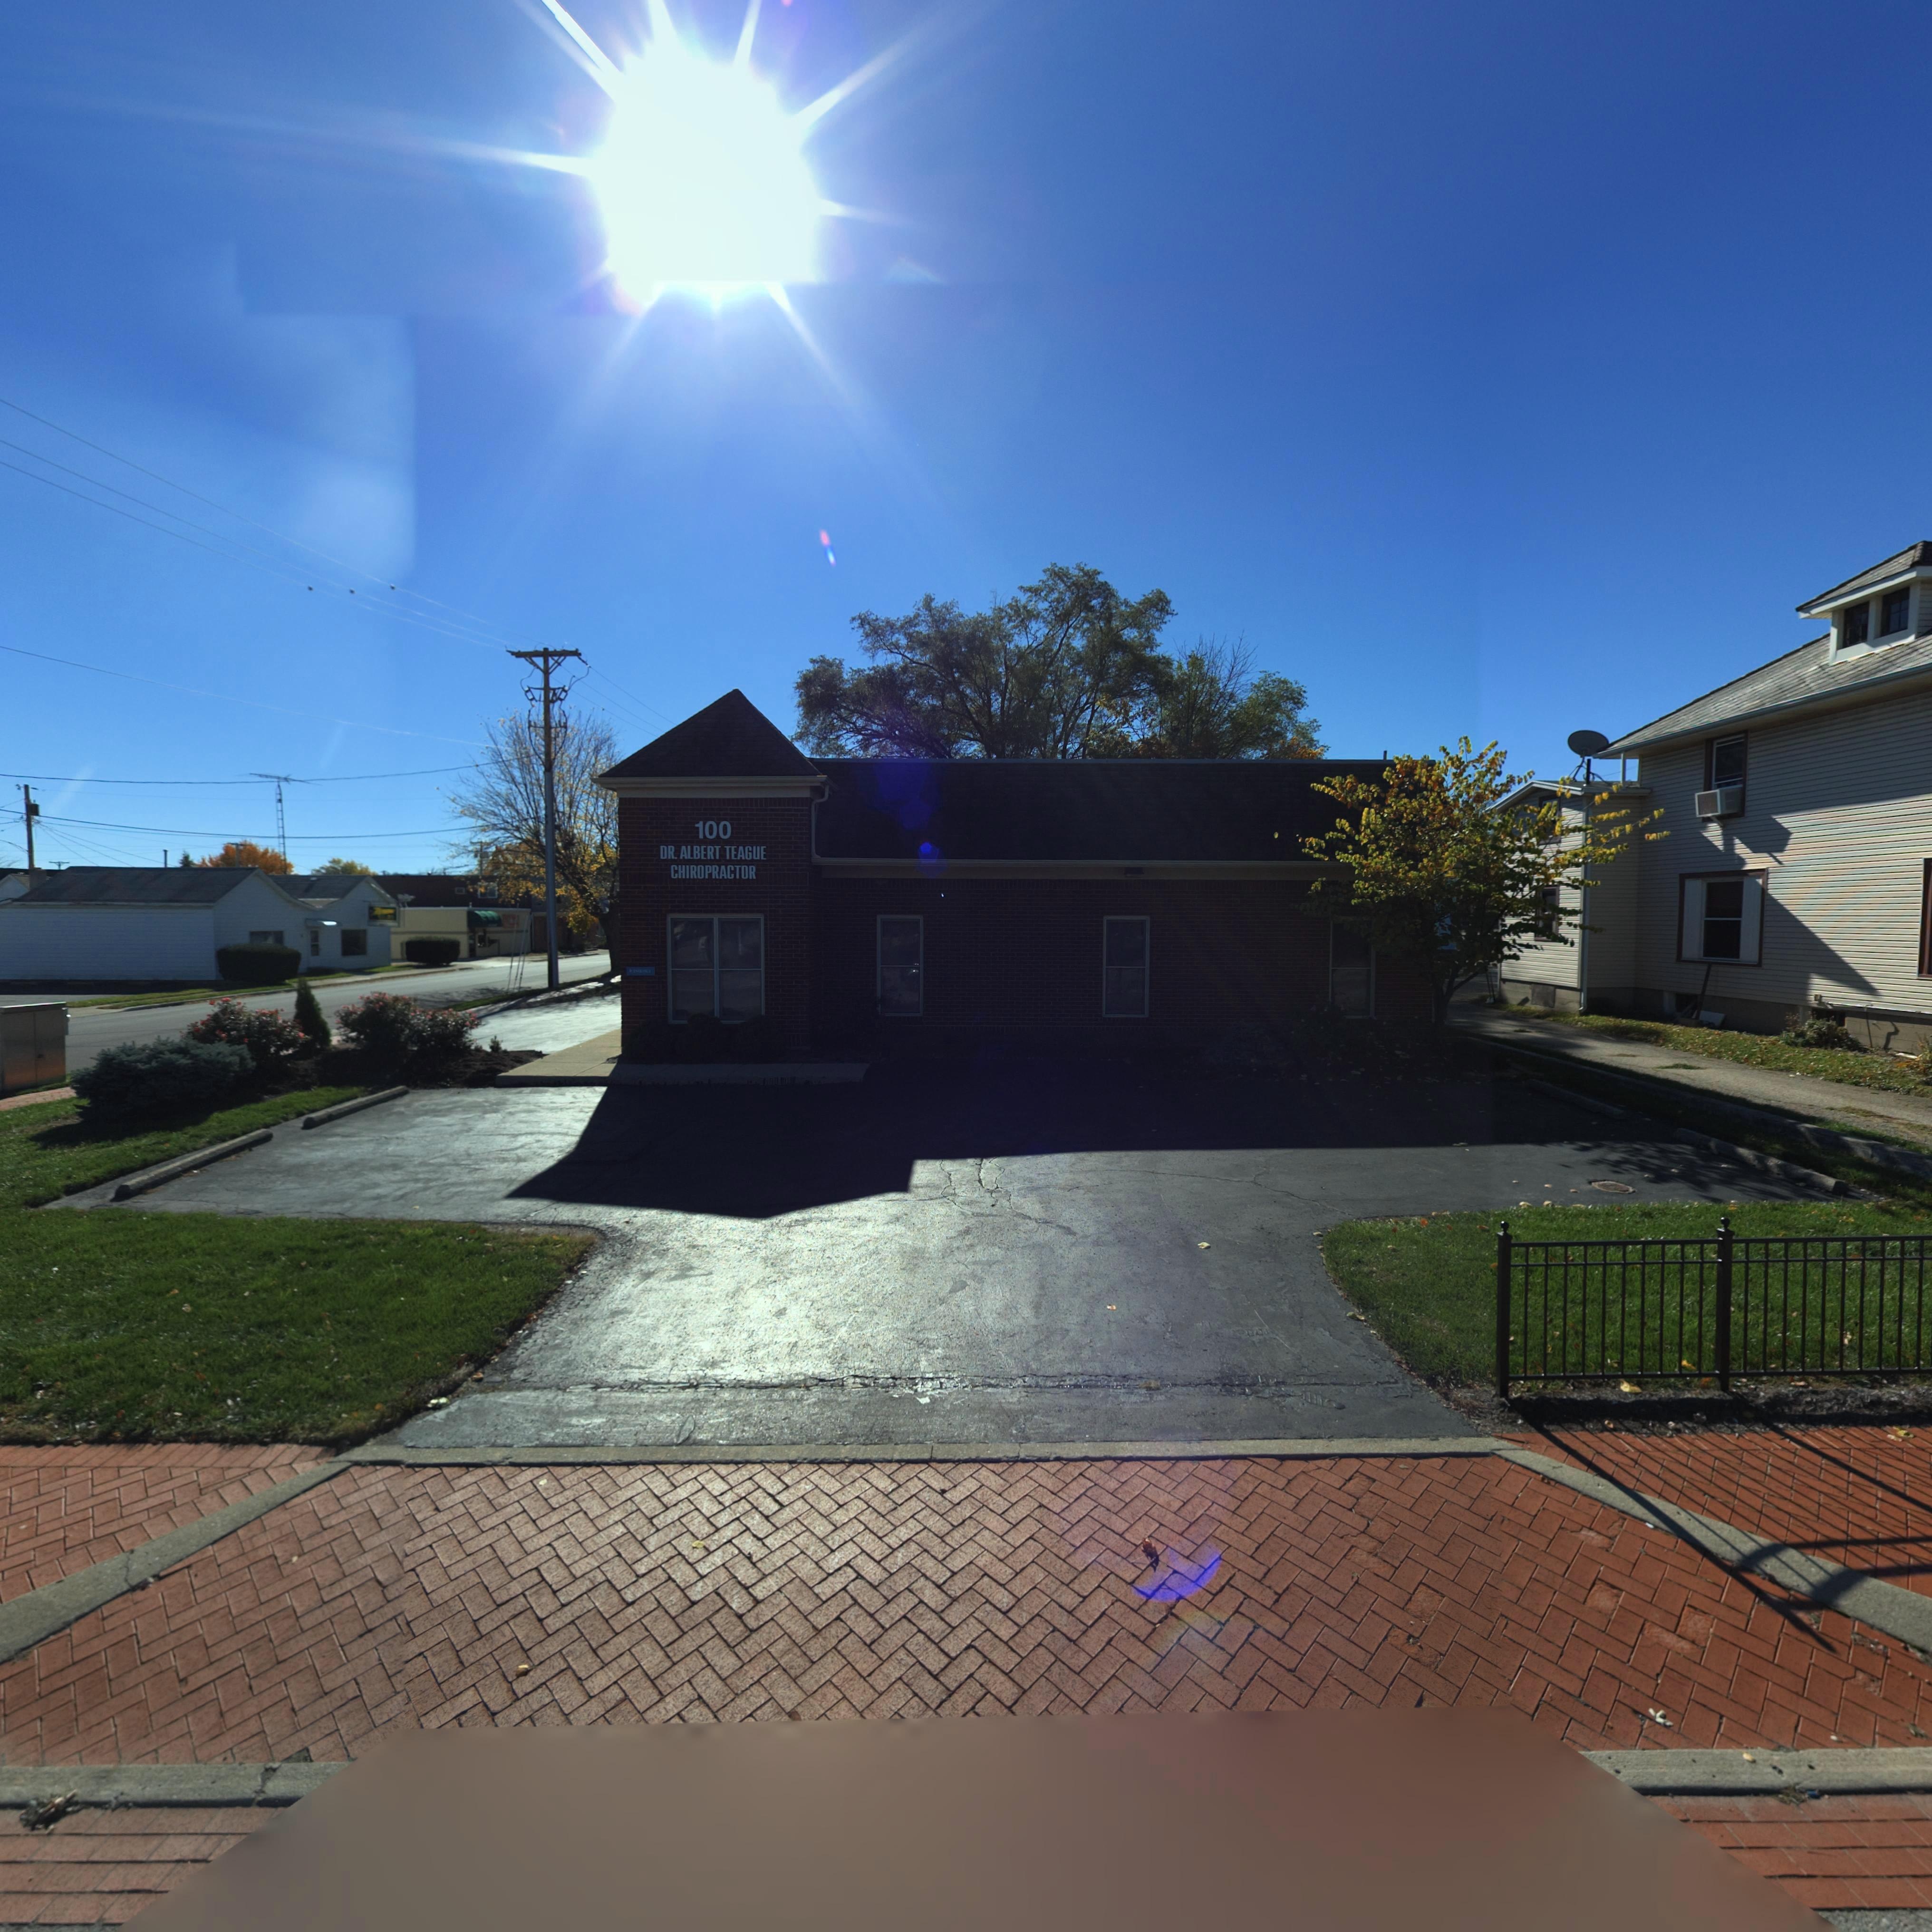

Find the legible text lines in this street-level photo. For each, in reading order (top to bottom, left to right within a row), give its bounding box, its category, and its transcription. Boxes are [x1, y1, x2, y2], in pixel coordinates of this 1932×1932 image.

[694, 821, 732, 840] StreetNumber: 100
[659, 844, 767, 861] BusinessName: DR. ALBERT TEAGUE
[670, 864, 757, 880] BusinessName: CHIROPRACTOR